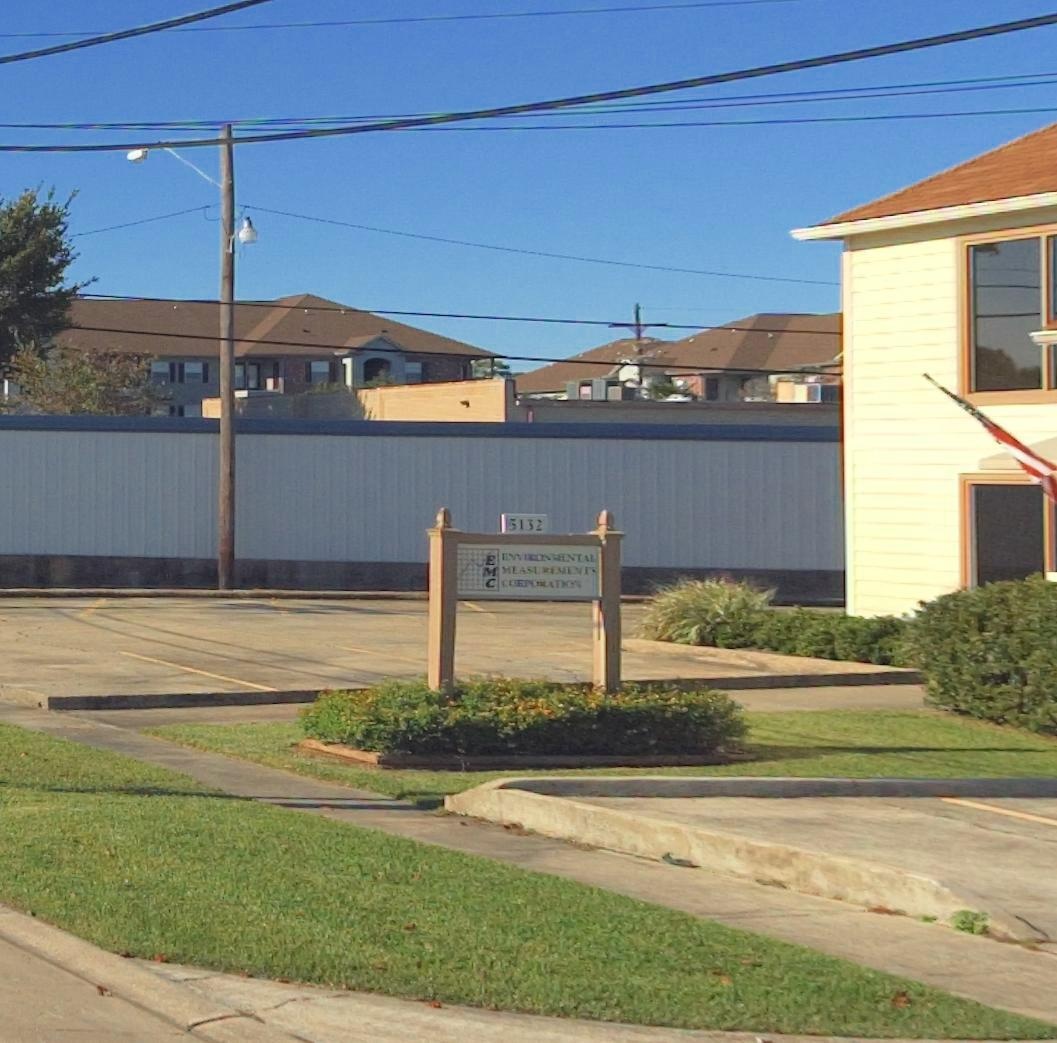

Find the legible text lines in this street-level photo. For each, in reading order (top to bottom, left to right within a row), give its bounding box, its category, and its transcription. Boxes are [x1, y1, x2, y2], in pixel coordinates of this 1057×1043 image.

[507, 518, 543, 532] StreetNumber: 5132
[485, 553, 496, 567] None: E
[482, 566, 497, 578] None: M
[484, 577, 498, 590] None: C